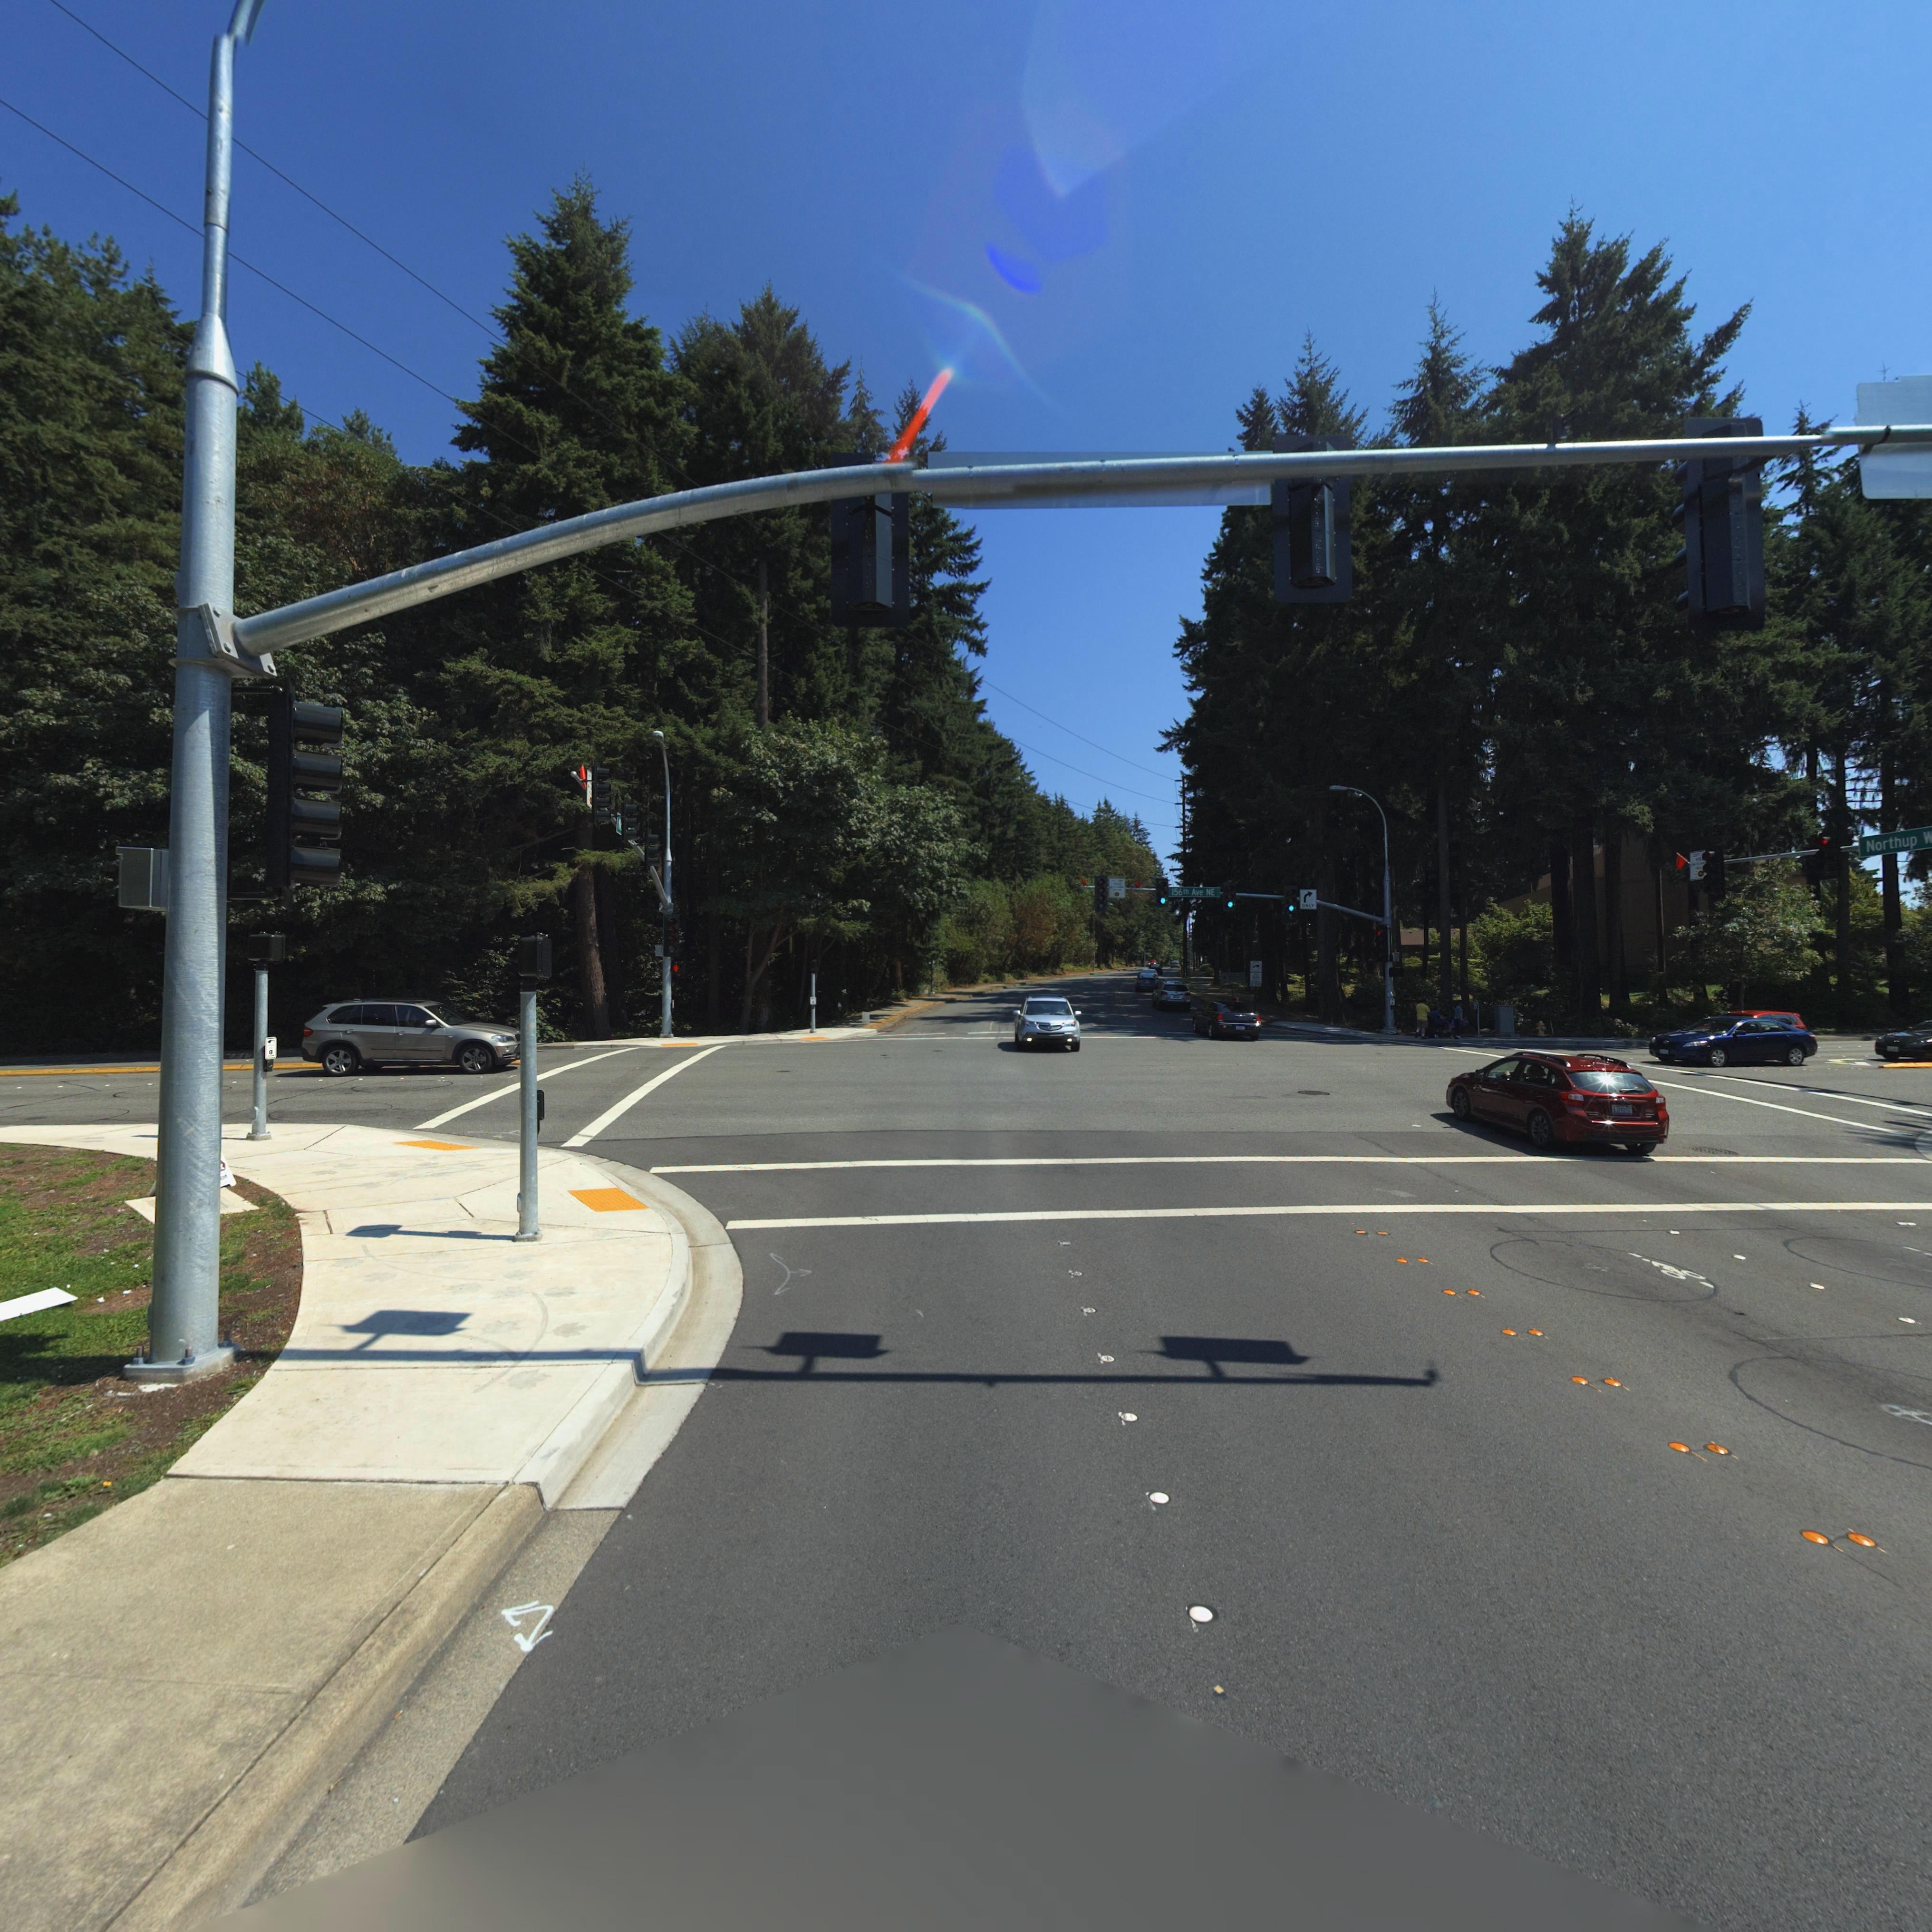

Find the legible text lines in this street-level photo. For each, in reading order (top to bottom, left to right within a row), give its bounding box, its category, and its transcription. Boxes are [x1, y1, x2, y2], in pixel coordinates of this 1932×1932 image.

[1865, 829, 1932, 853] StreetName: Northup W*